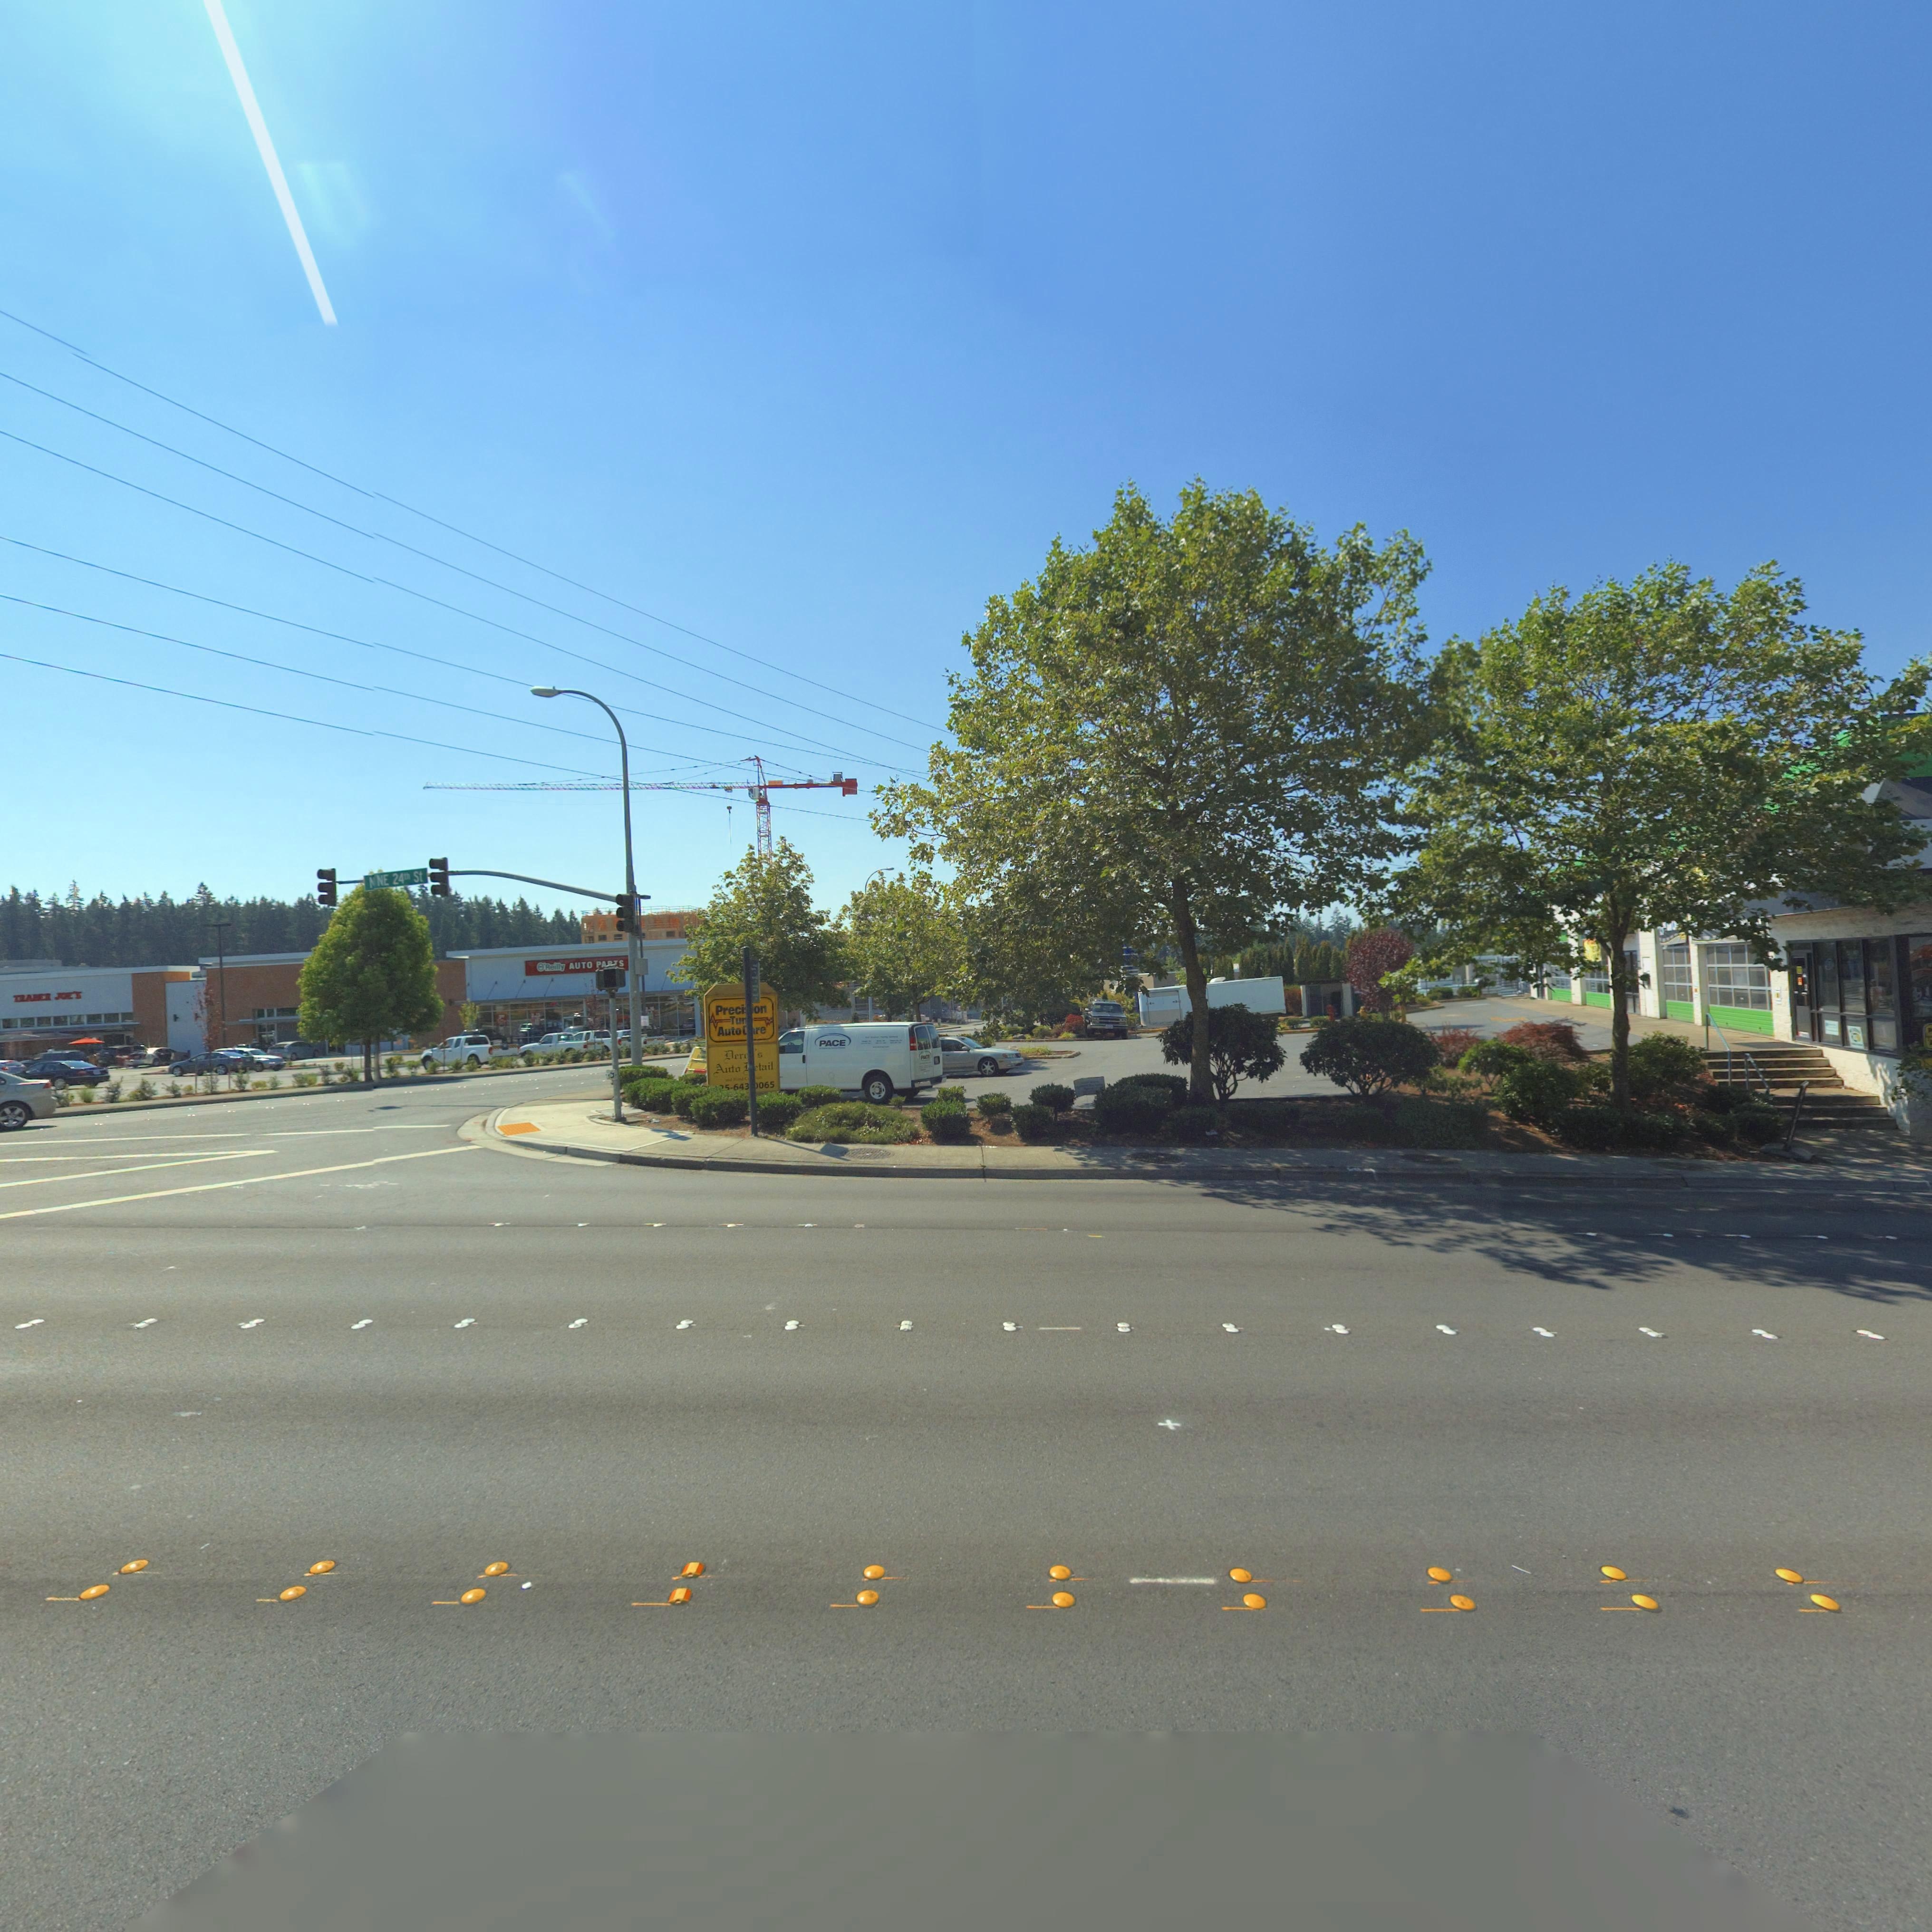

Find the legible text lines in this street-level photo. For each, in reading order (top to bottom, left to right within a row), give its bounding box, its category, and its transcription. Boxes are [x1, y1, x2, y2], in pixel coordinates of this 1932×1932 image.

[377, 871, 423, 886] StreetName: NE 24** St
[537, 961, 567, 971] BusinessName: *Reilly
[569, 961, 592, 969] BusinessName: AUTO
[715, 1003, 744, 1015] BusinessName: Preci
[753, 1005, 767, 1014] BusinessName: on
[729, 1015, 742, 1024] BusinessName: Tu
[716, 1026, 742, 1036] BusinessName: Auto
[755, 1026, 766, 1034] BusinessName: re
[724, 1049, 744, 1060] BusinessName: Der
[715, 1063, 740, 1074] BusinessName: Auto
[758, 1060, 773, 1071] BusinessName: tail